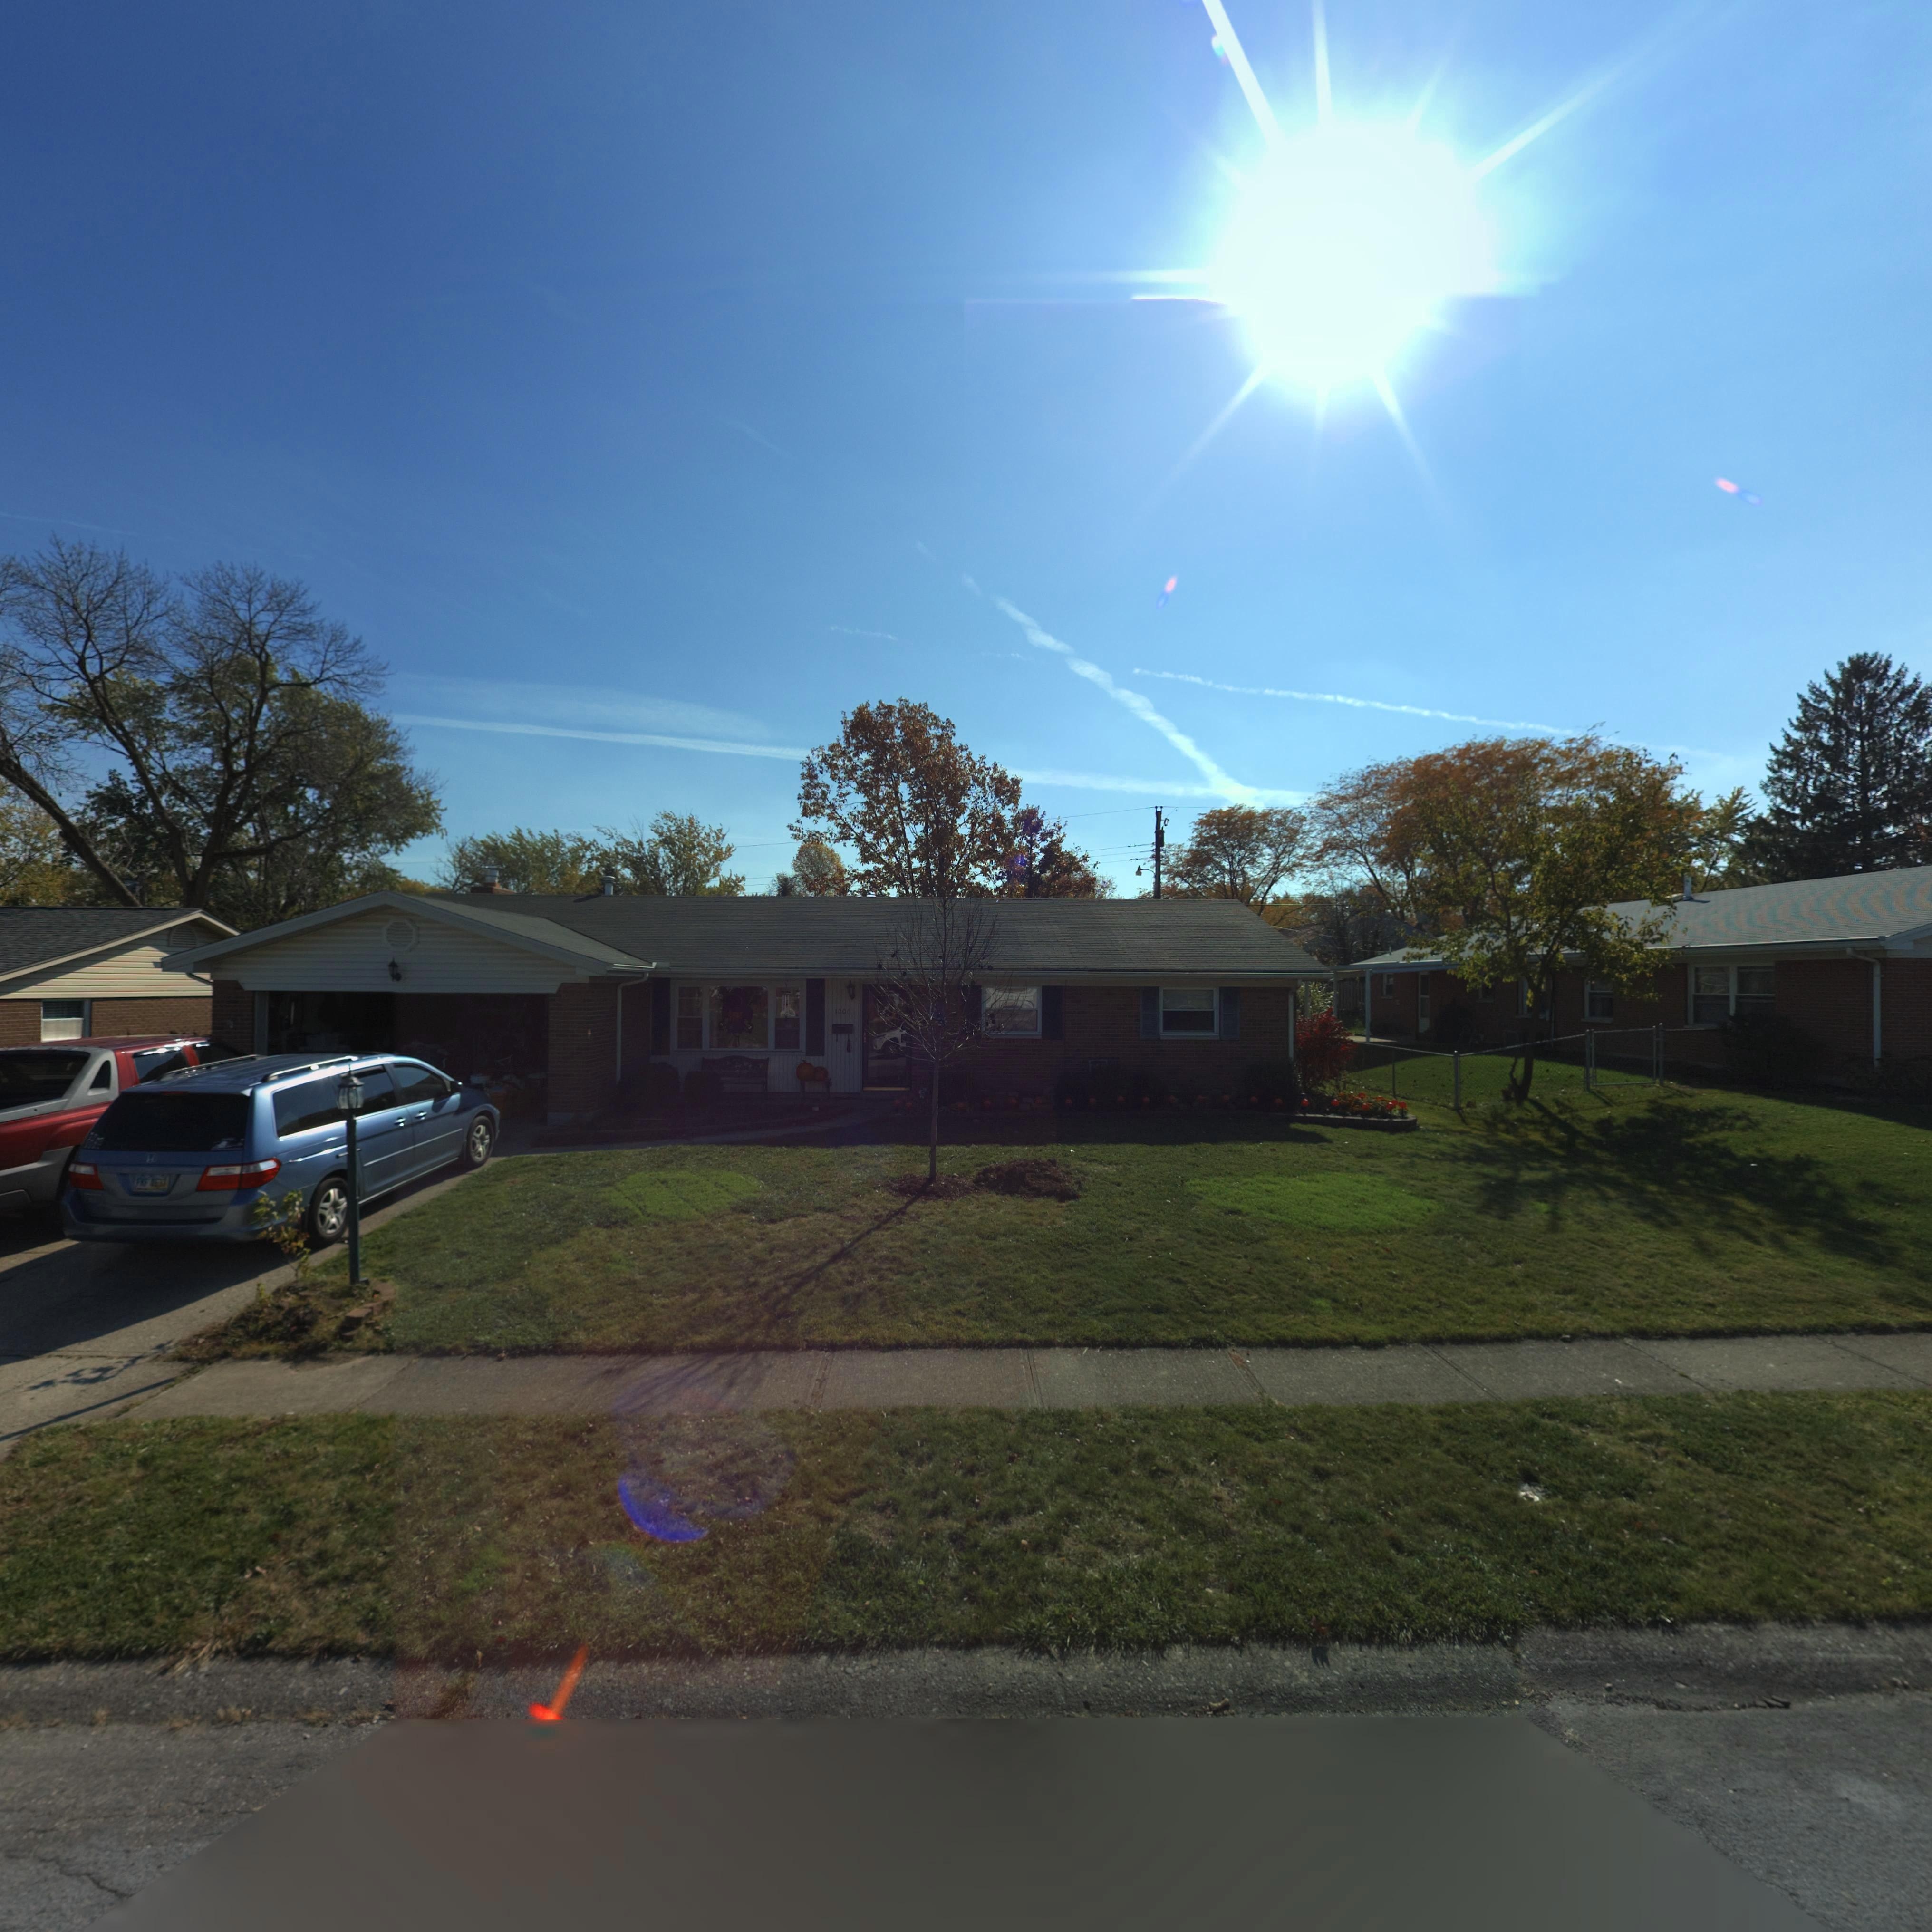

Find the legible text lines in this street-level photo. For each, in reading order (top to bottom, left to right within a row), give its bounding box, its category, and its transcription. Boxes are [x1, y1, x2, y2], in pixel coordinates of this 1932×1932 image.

[834, 1007, 851, 1015] StreetNumber: 100*